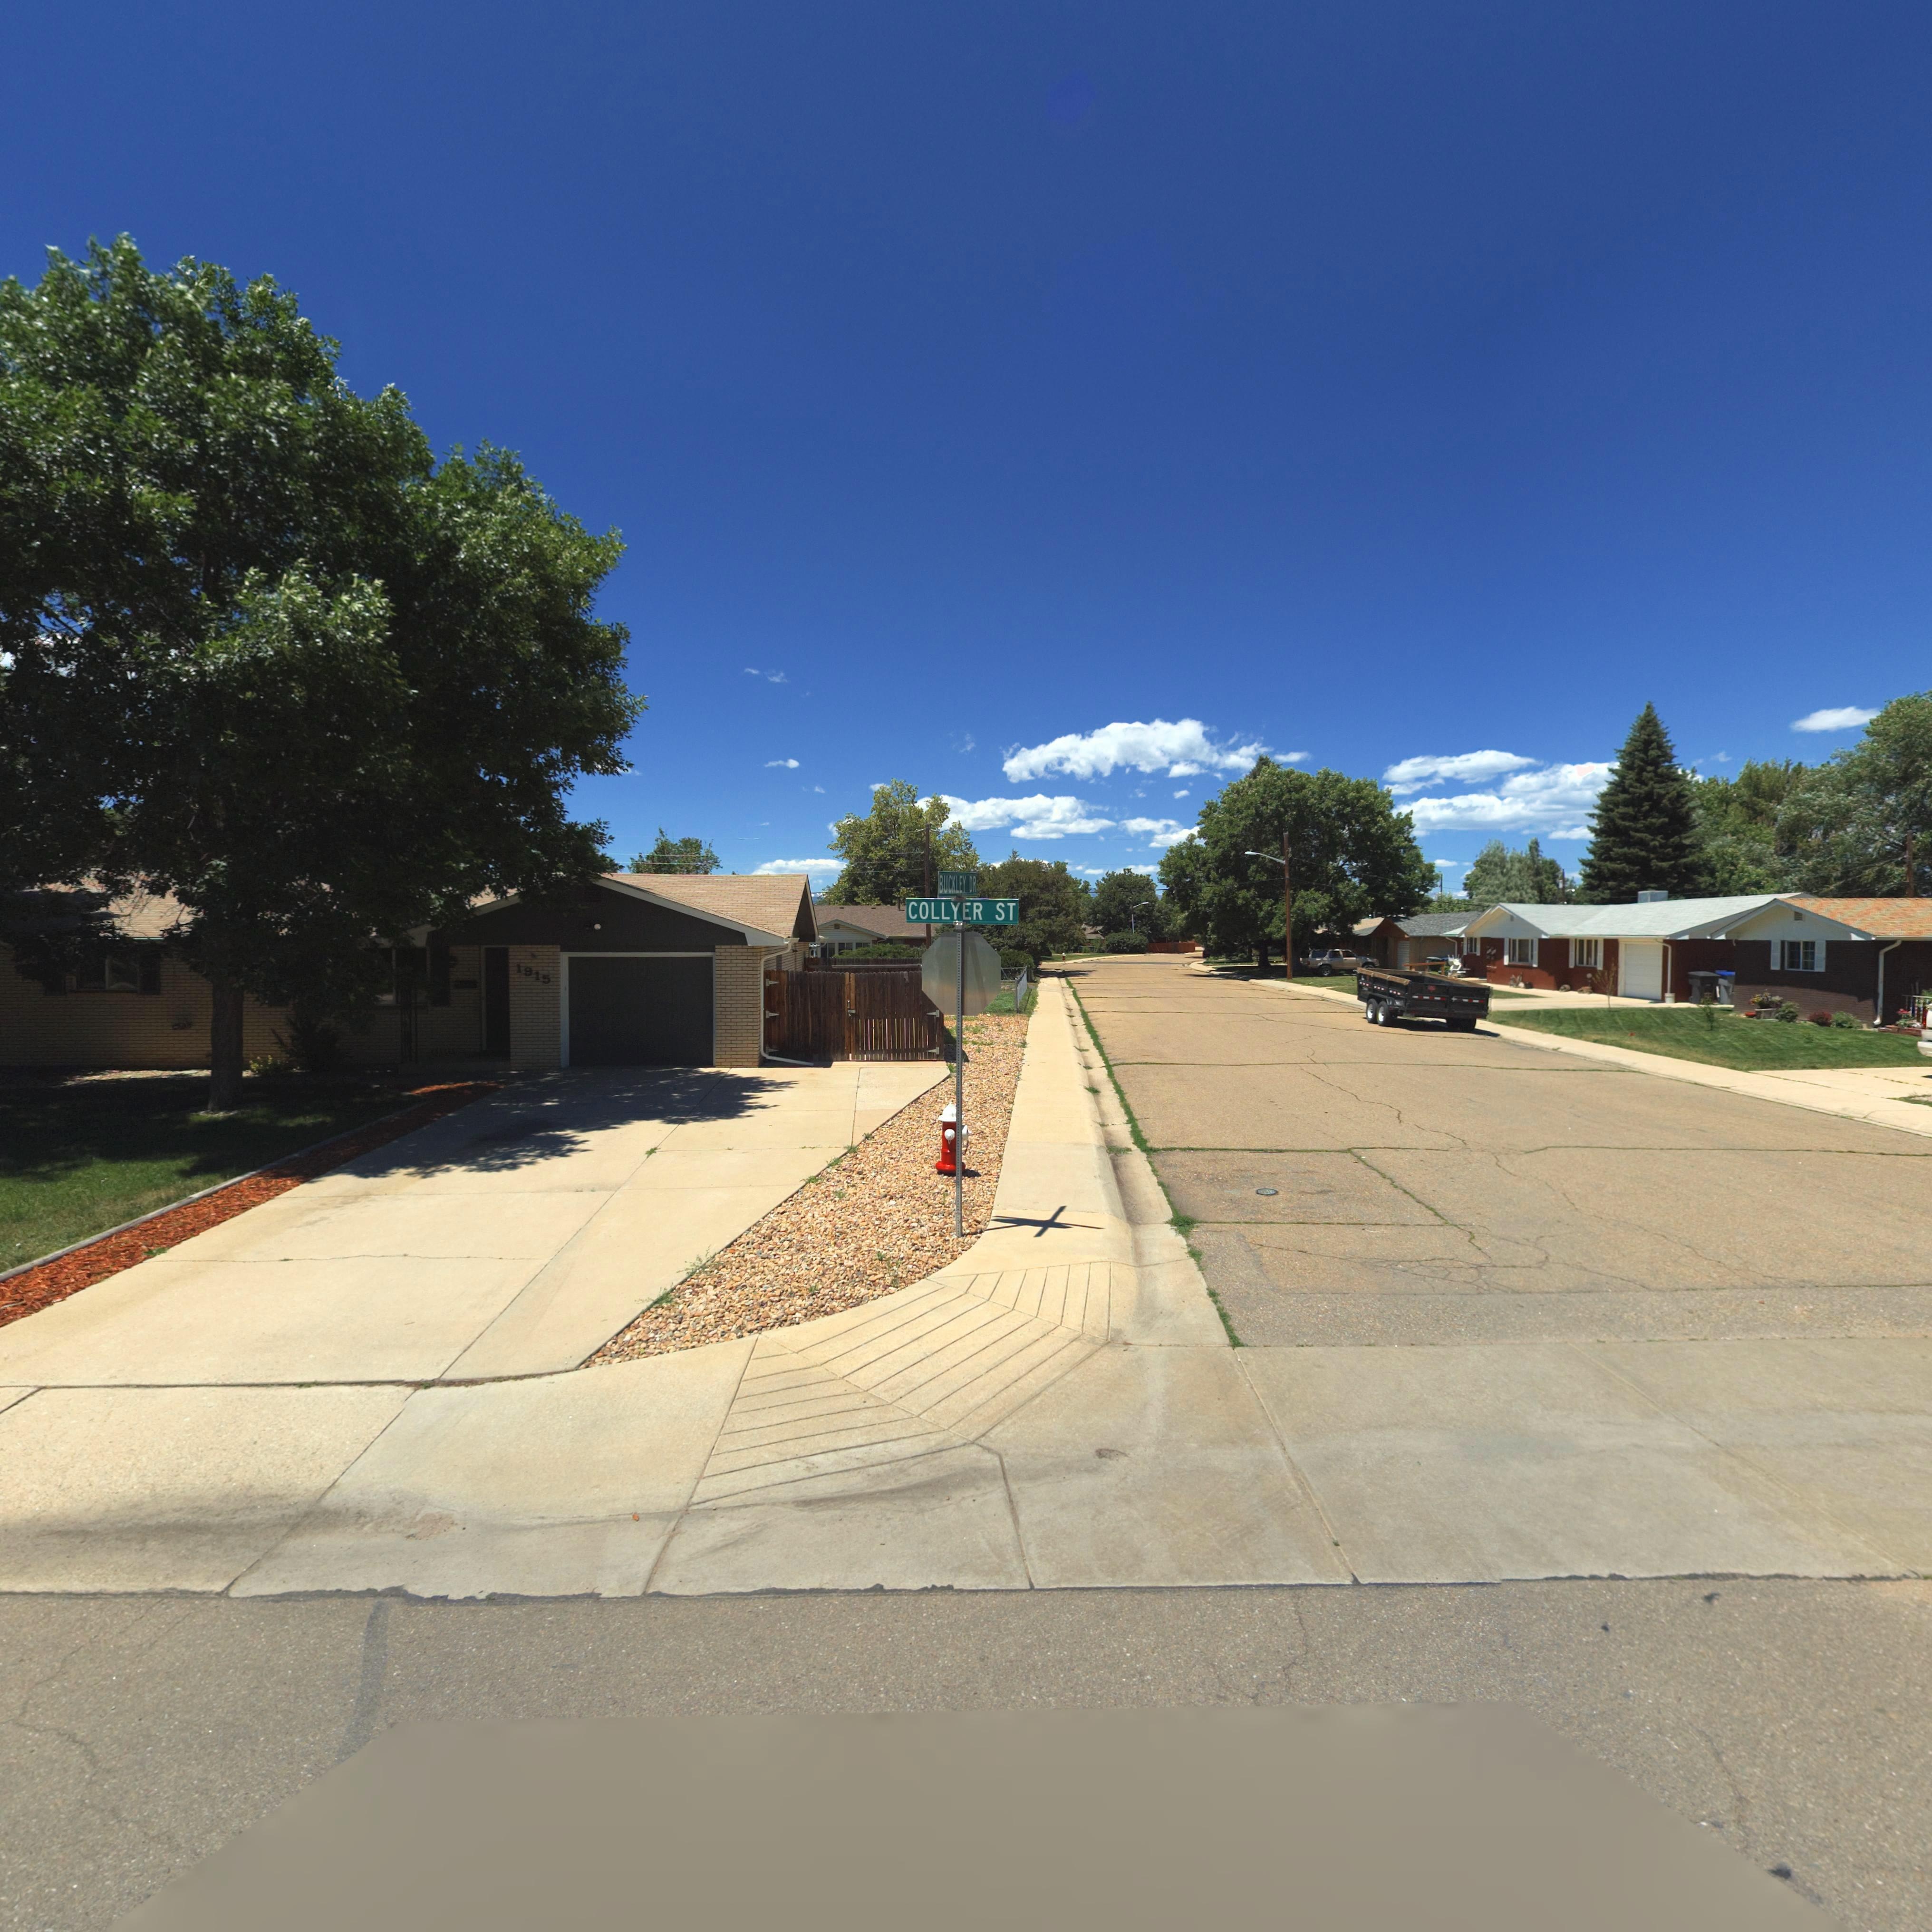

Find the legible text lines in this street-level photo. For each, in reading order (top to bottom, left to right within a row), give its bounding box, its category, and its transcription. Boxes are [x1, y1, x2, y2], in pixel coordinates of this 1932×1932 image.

[939, 874, 976, 894] StreetName: BUCKLEY DR
[908, 900, 1016, 921] StreetName: COLLYER ST
[515, 963, 551, 985] StreetNumber: 1915